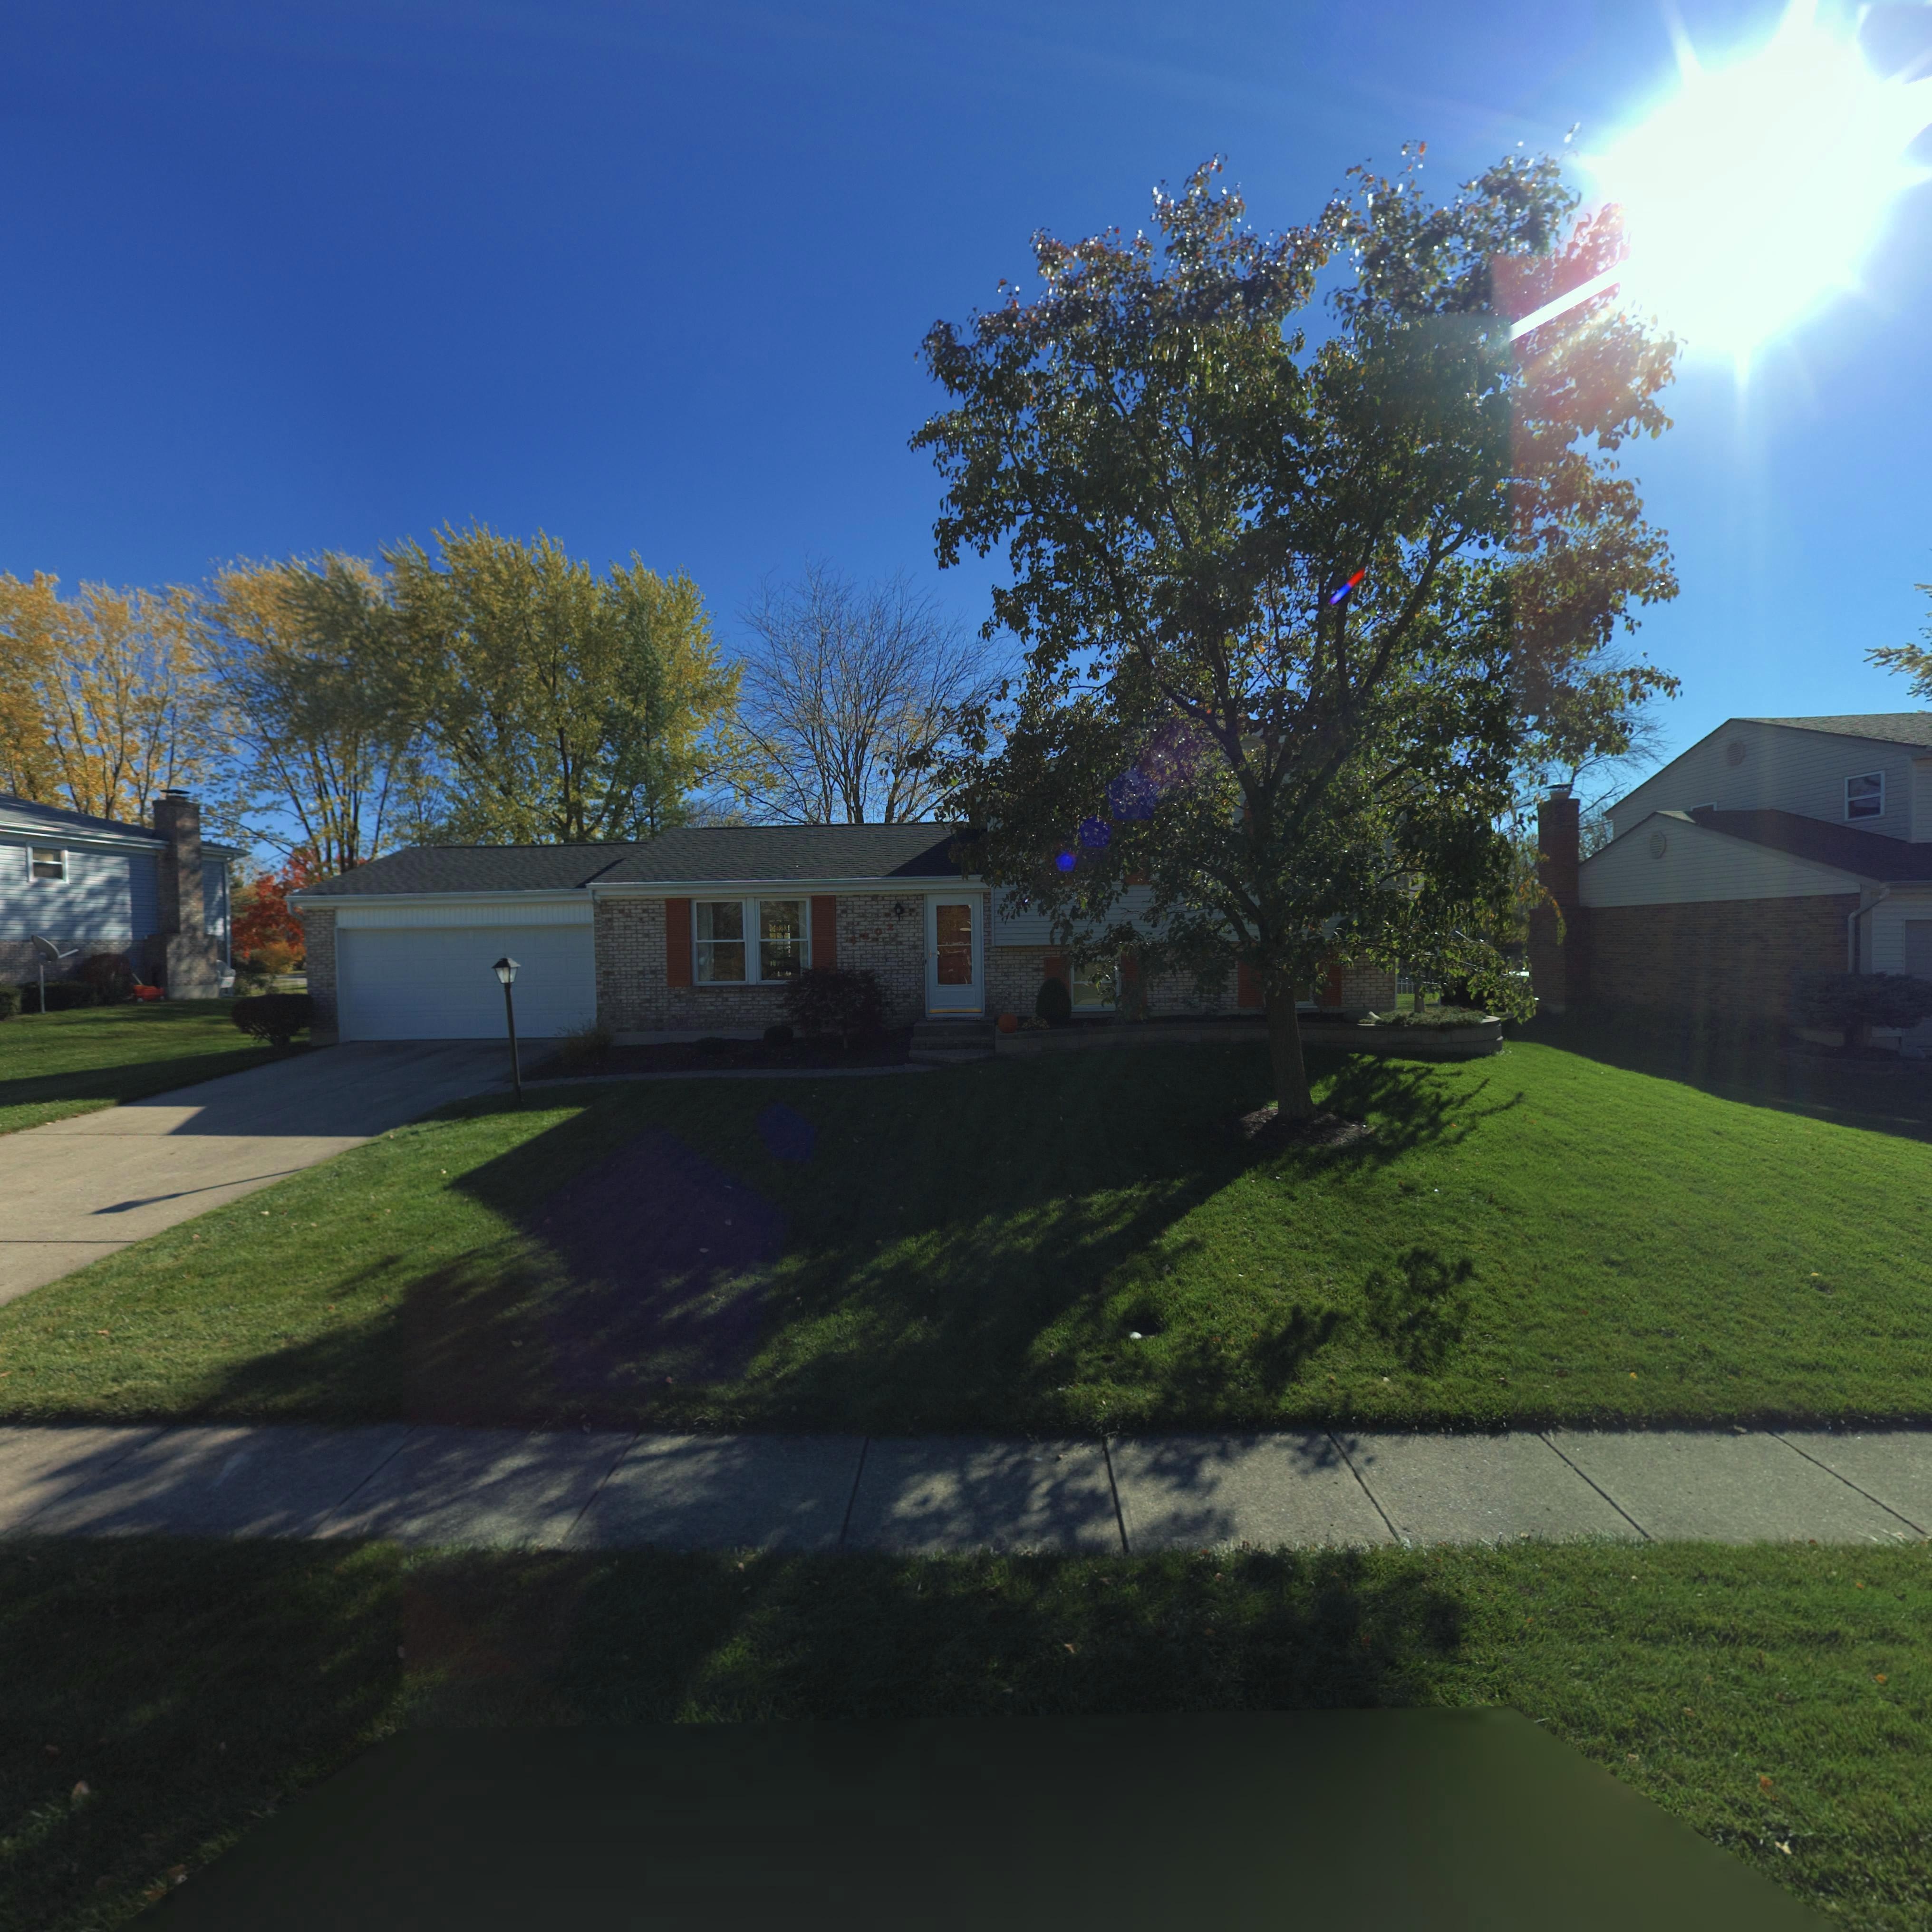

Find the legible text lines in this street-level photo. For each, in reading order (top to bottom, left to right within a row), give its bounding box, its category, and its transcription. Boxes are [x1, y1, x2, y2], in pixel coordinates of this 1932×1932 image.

[848, 922, 895, 947] StreetNumber: 4202